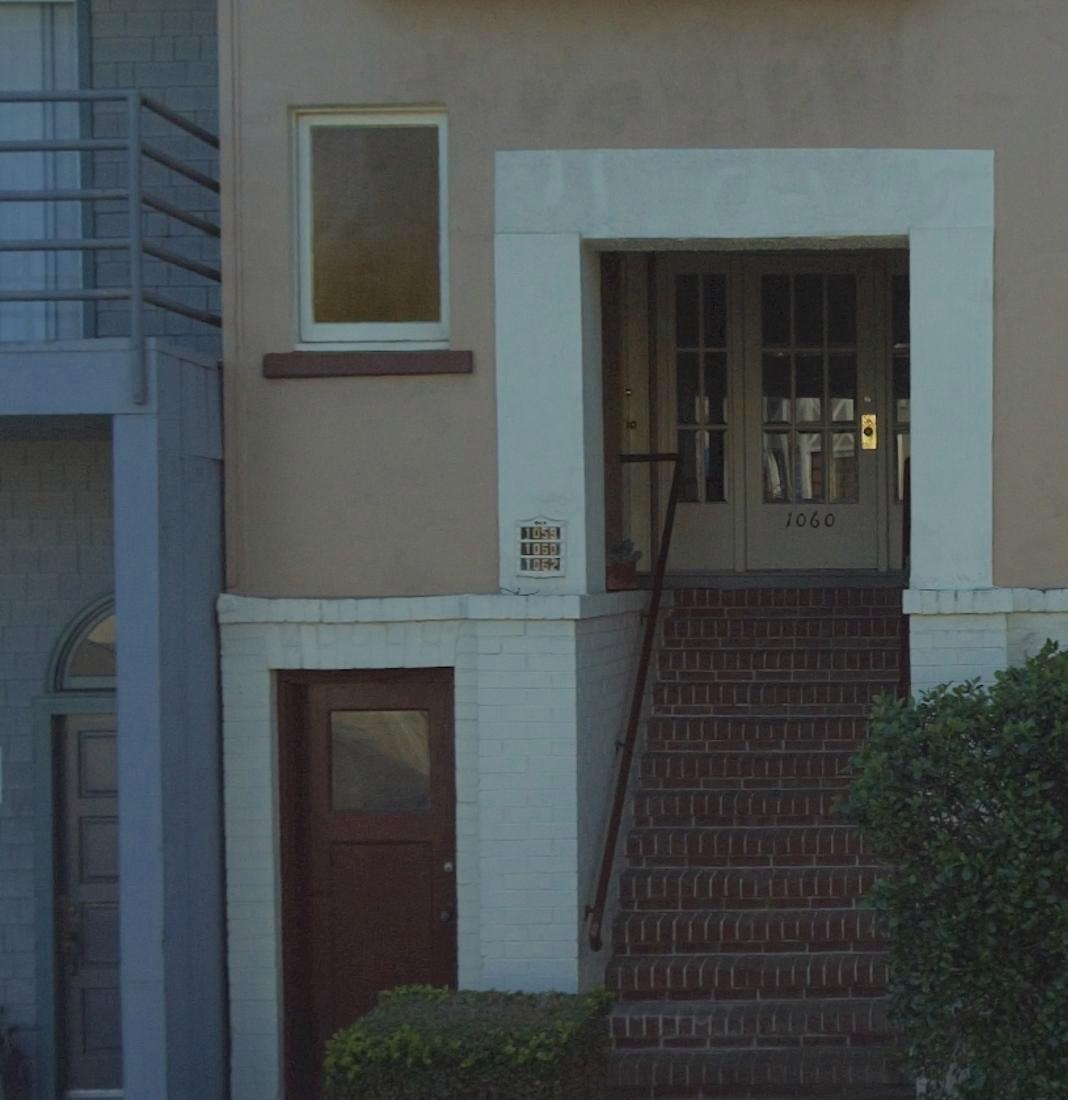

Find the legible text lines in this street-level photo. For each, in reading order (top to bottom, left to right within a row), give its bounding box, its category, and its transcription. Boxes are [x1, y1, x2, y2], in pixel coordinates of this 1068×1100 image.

[782, 509, 836, 529] StreetNumber: 1060
[522, 527, 559, 540] StreetNumber: 1058
[521, 542, 558, 555] StreetNumber: 1060
[521, 557, 560, 572] StreetNumber: 1062